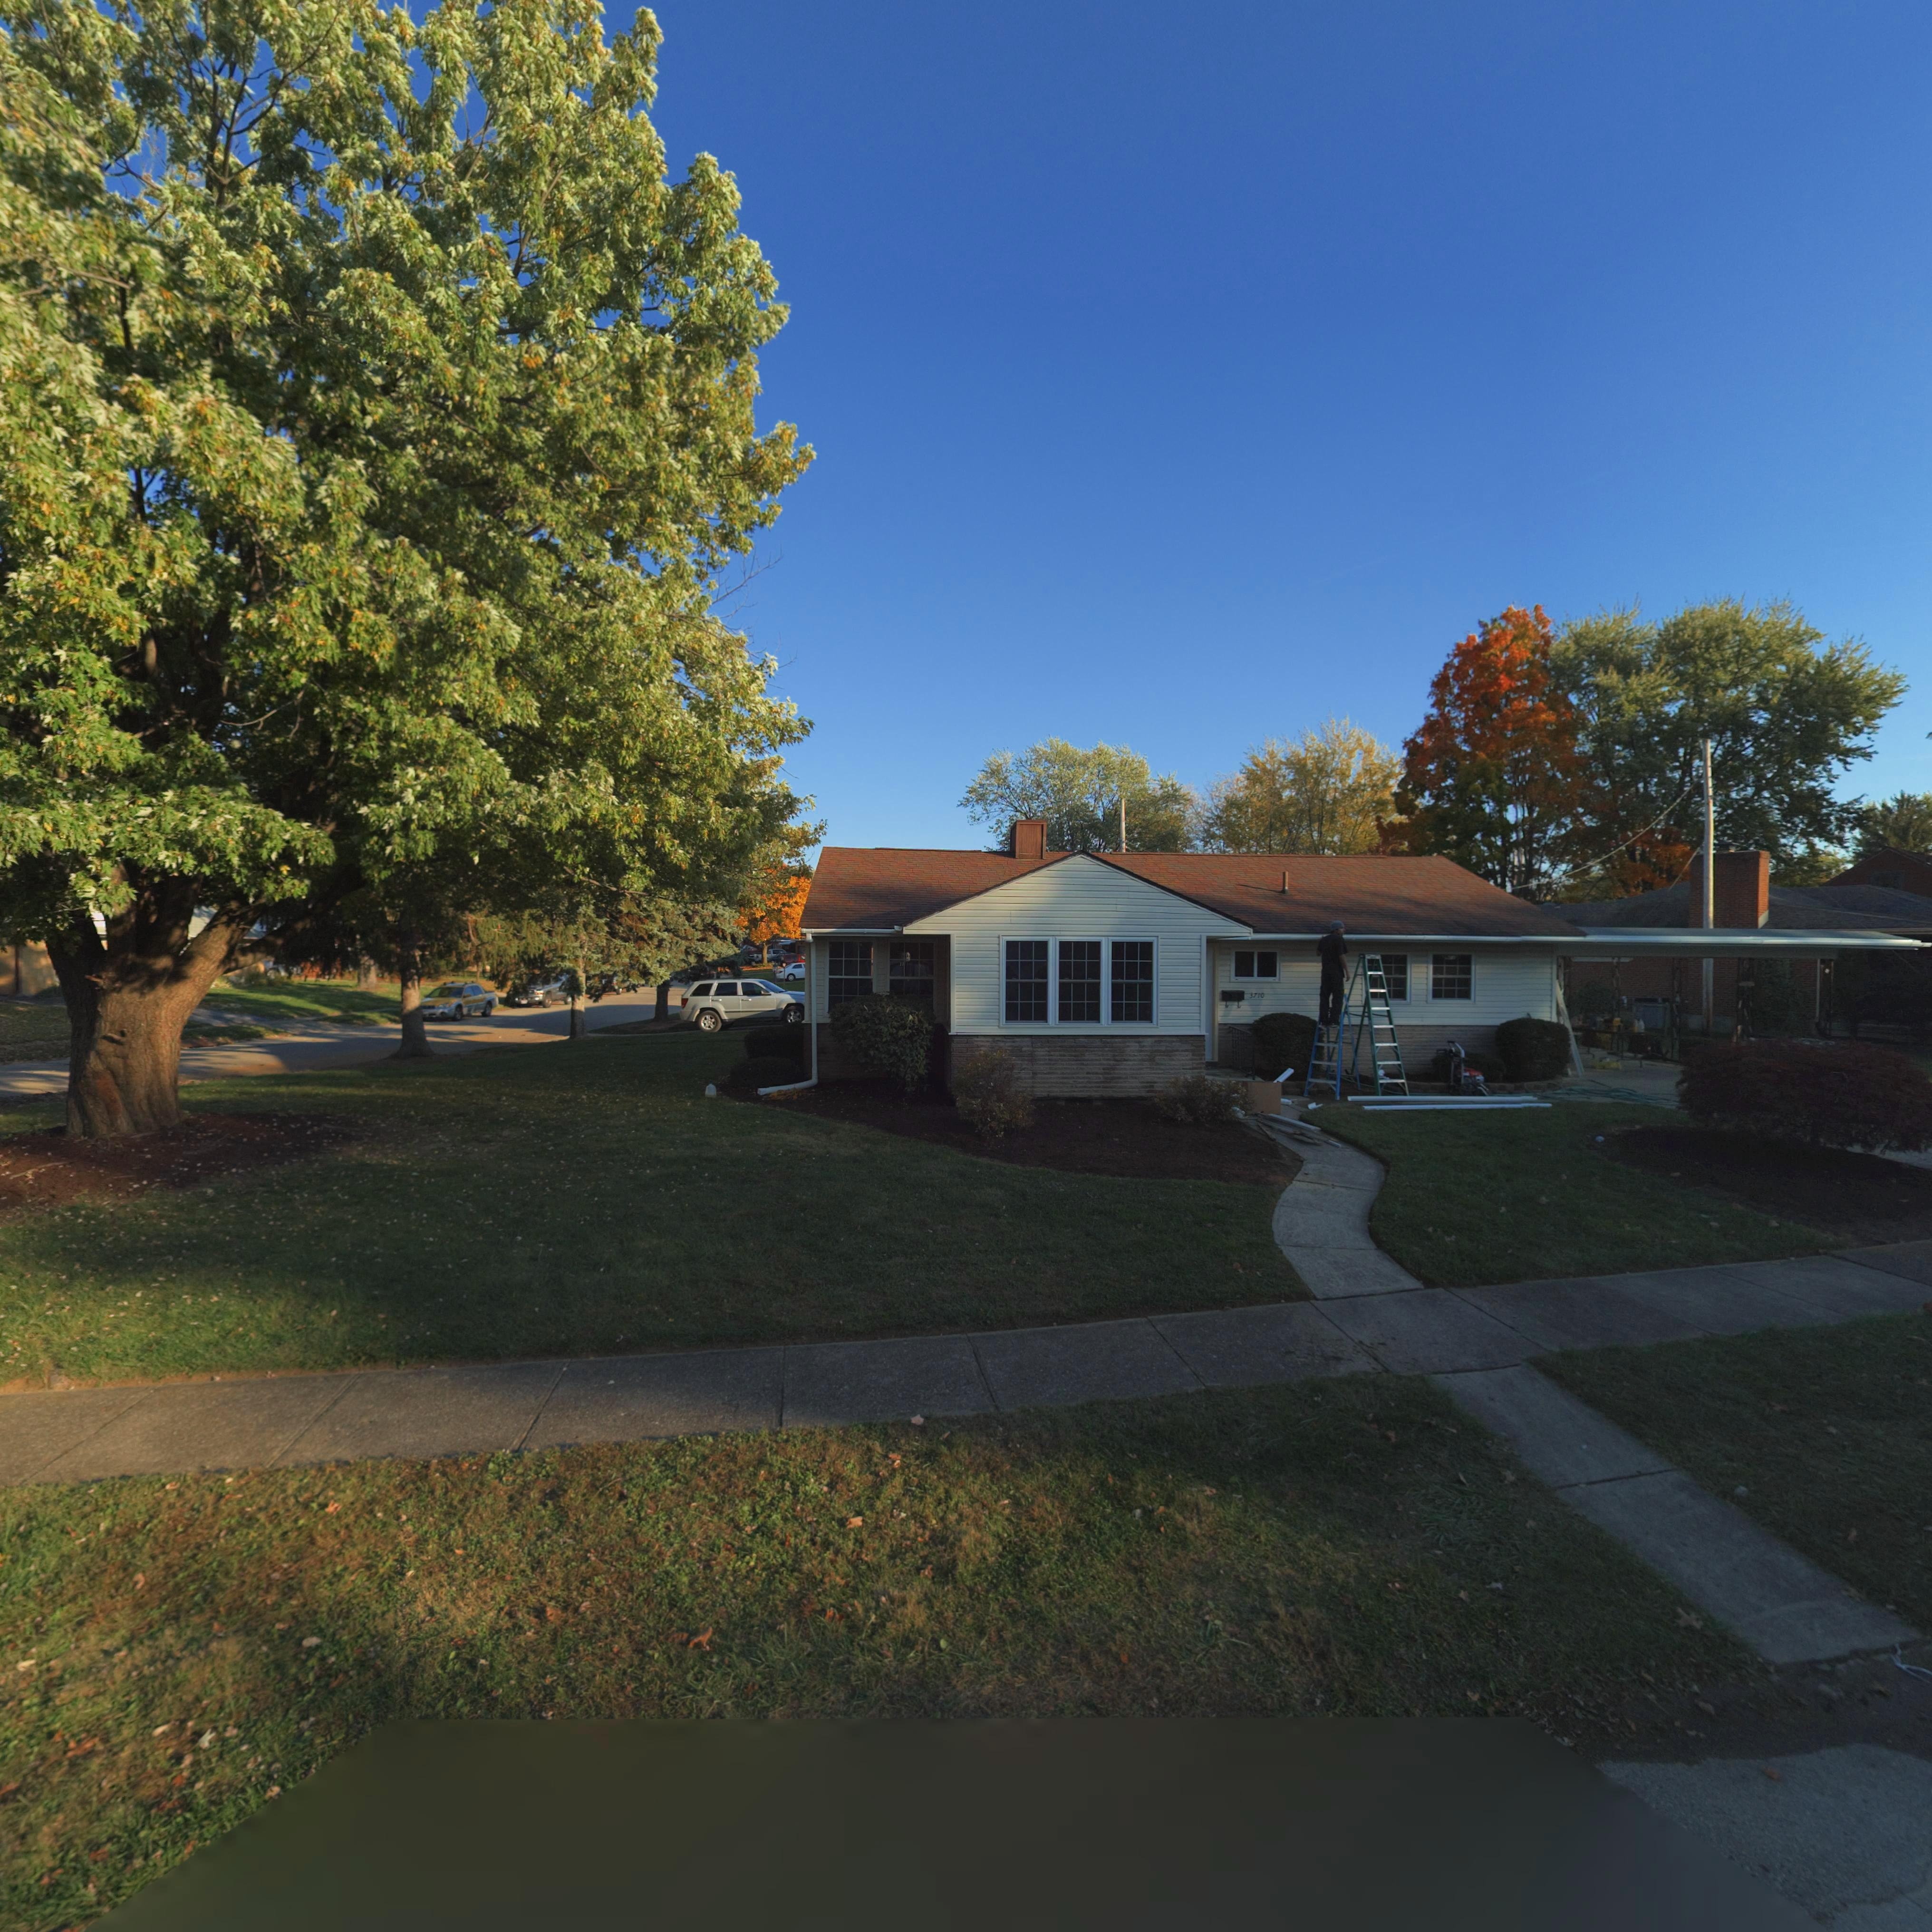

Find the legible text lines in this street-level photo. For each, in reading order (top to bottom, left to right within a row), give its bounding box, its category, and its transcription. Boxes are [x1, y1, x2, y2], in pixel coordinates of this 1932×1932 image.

[1248, 992, 1265, 999] StreetNumber: 3710